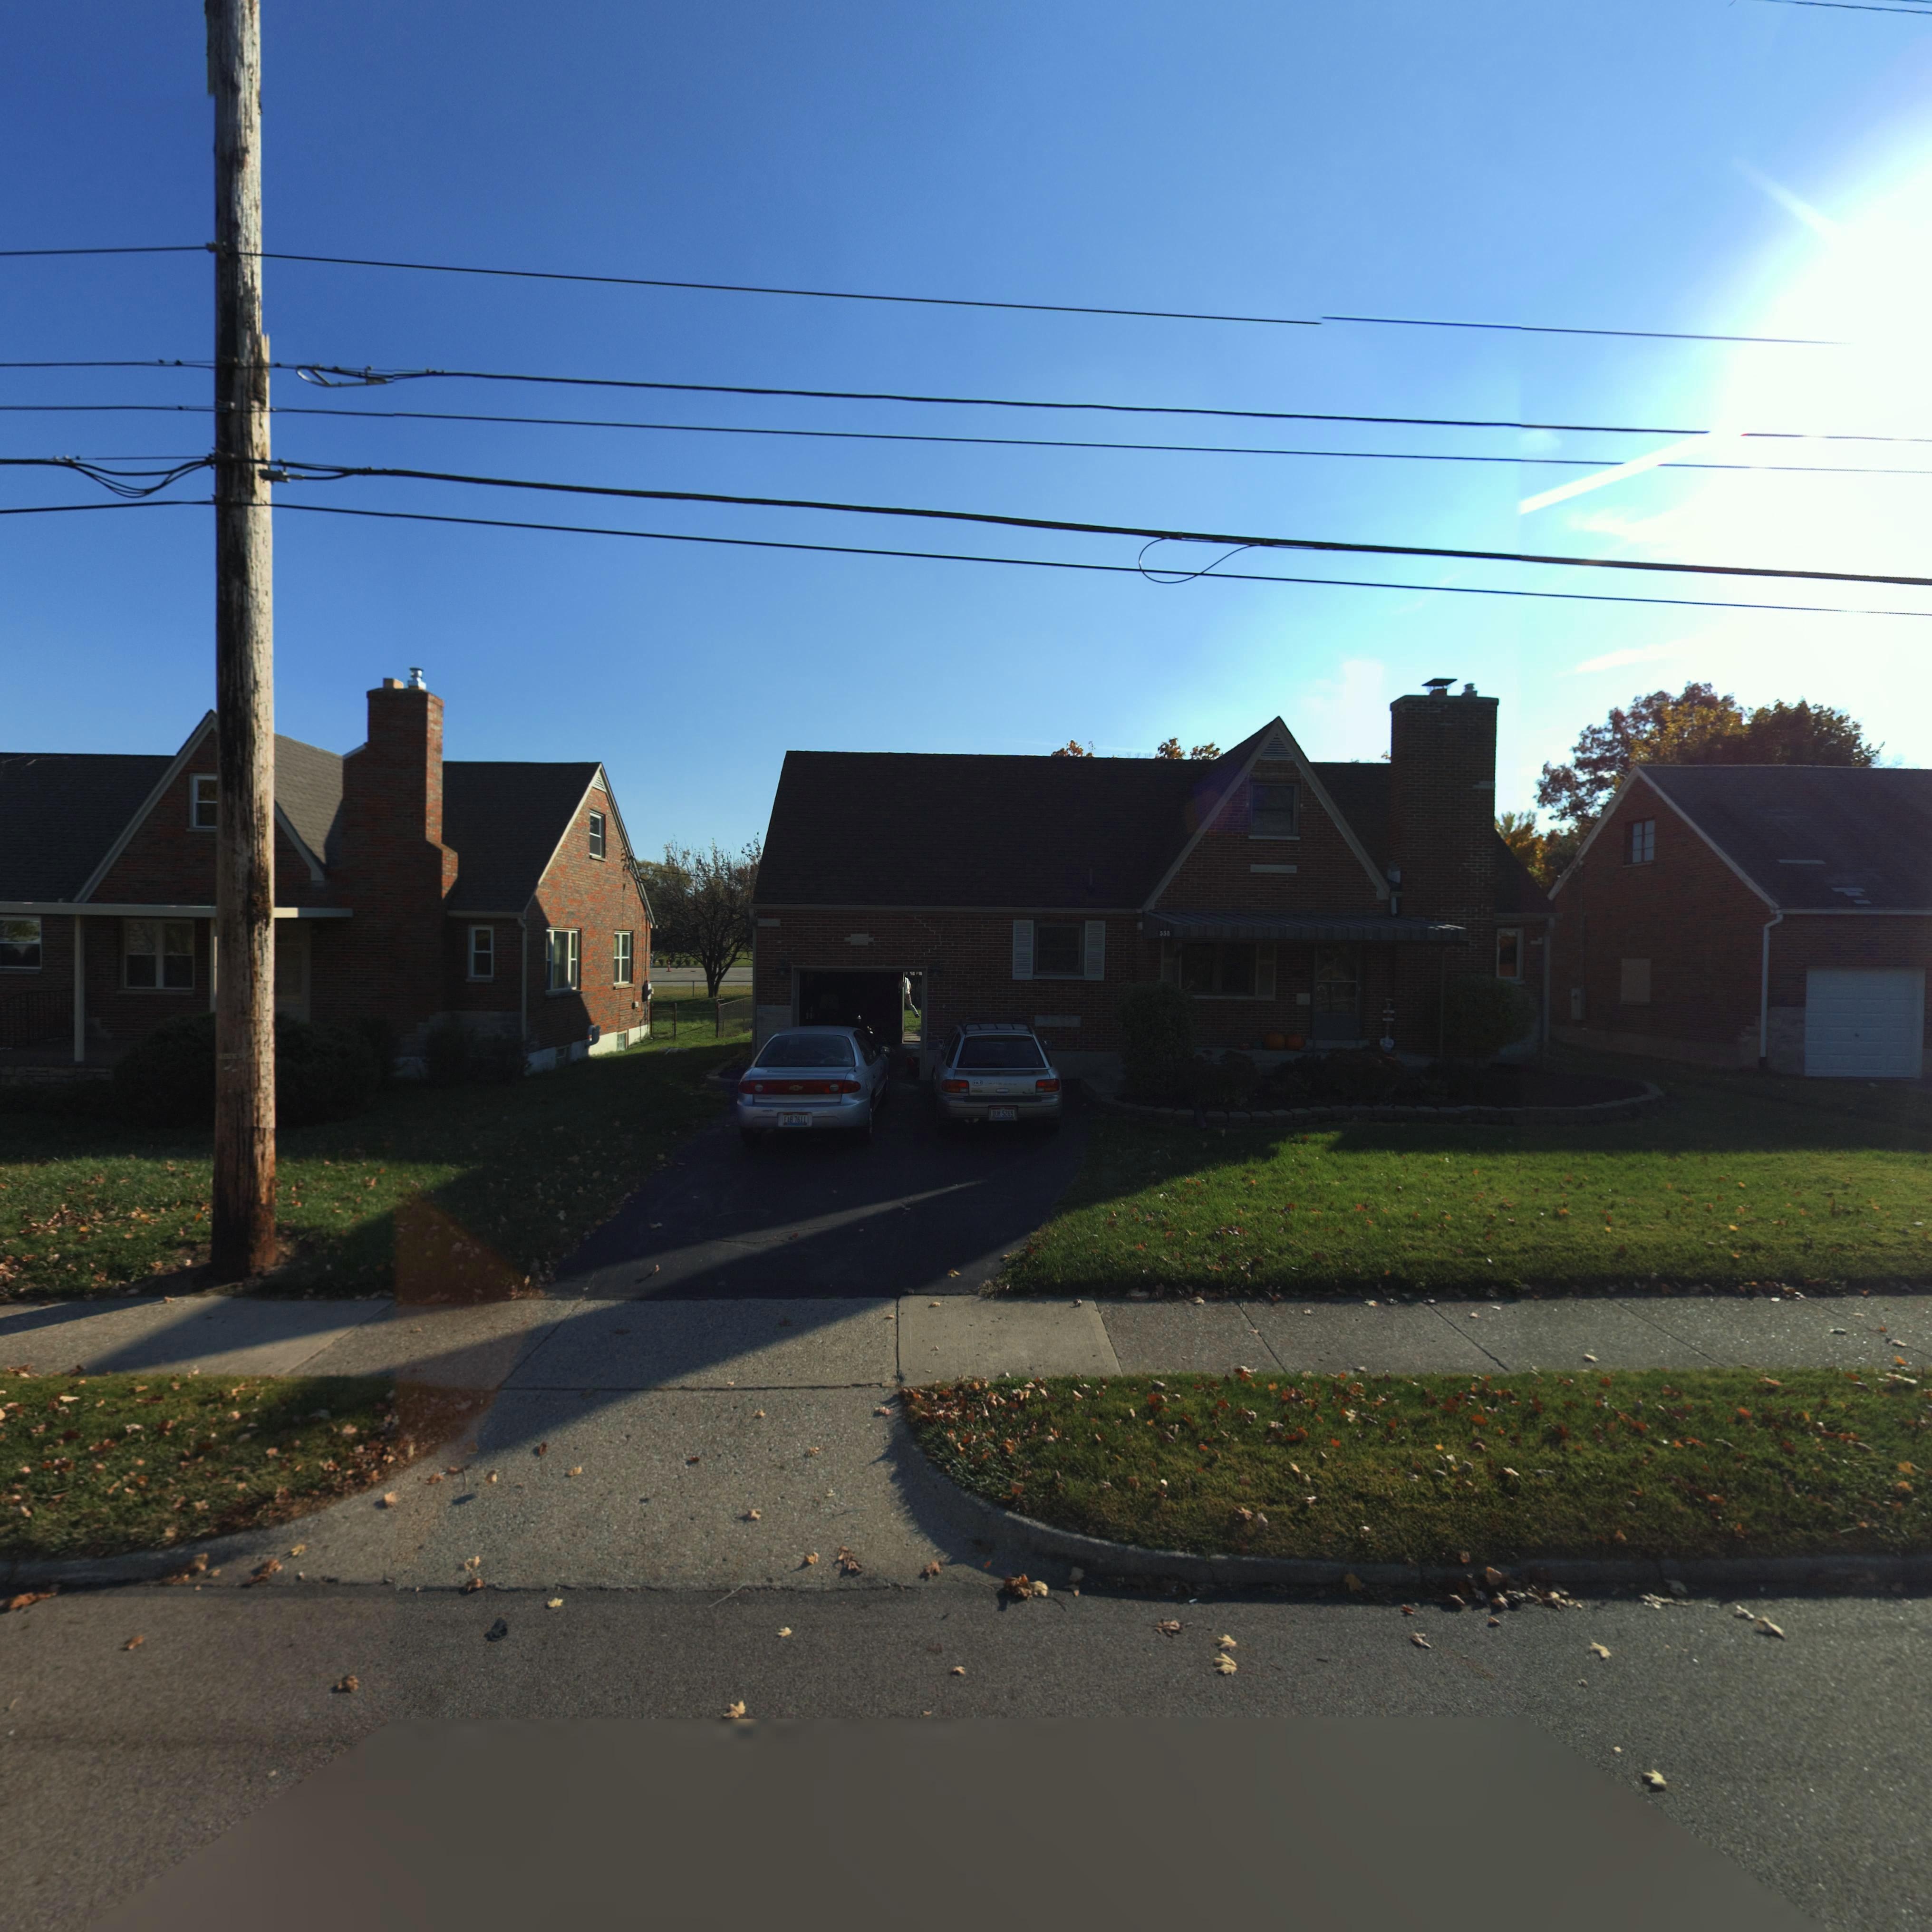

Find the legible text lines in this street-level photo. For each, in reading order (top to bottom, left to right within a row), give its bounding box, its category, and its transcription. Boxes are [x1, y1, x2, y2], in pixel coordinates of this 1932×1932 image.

[1159, 929, 1170, 937] StreetNumber: 558